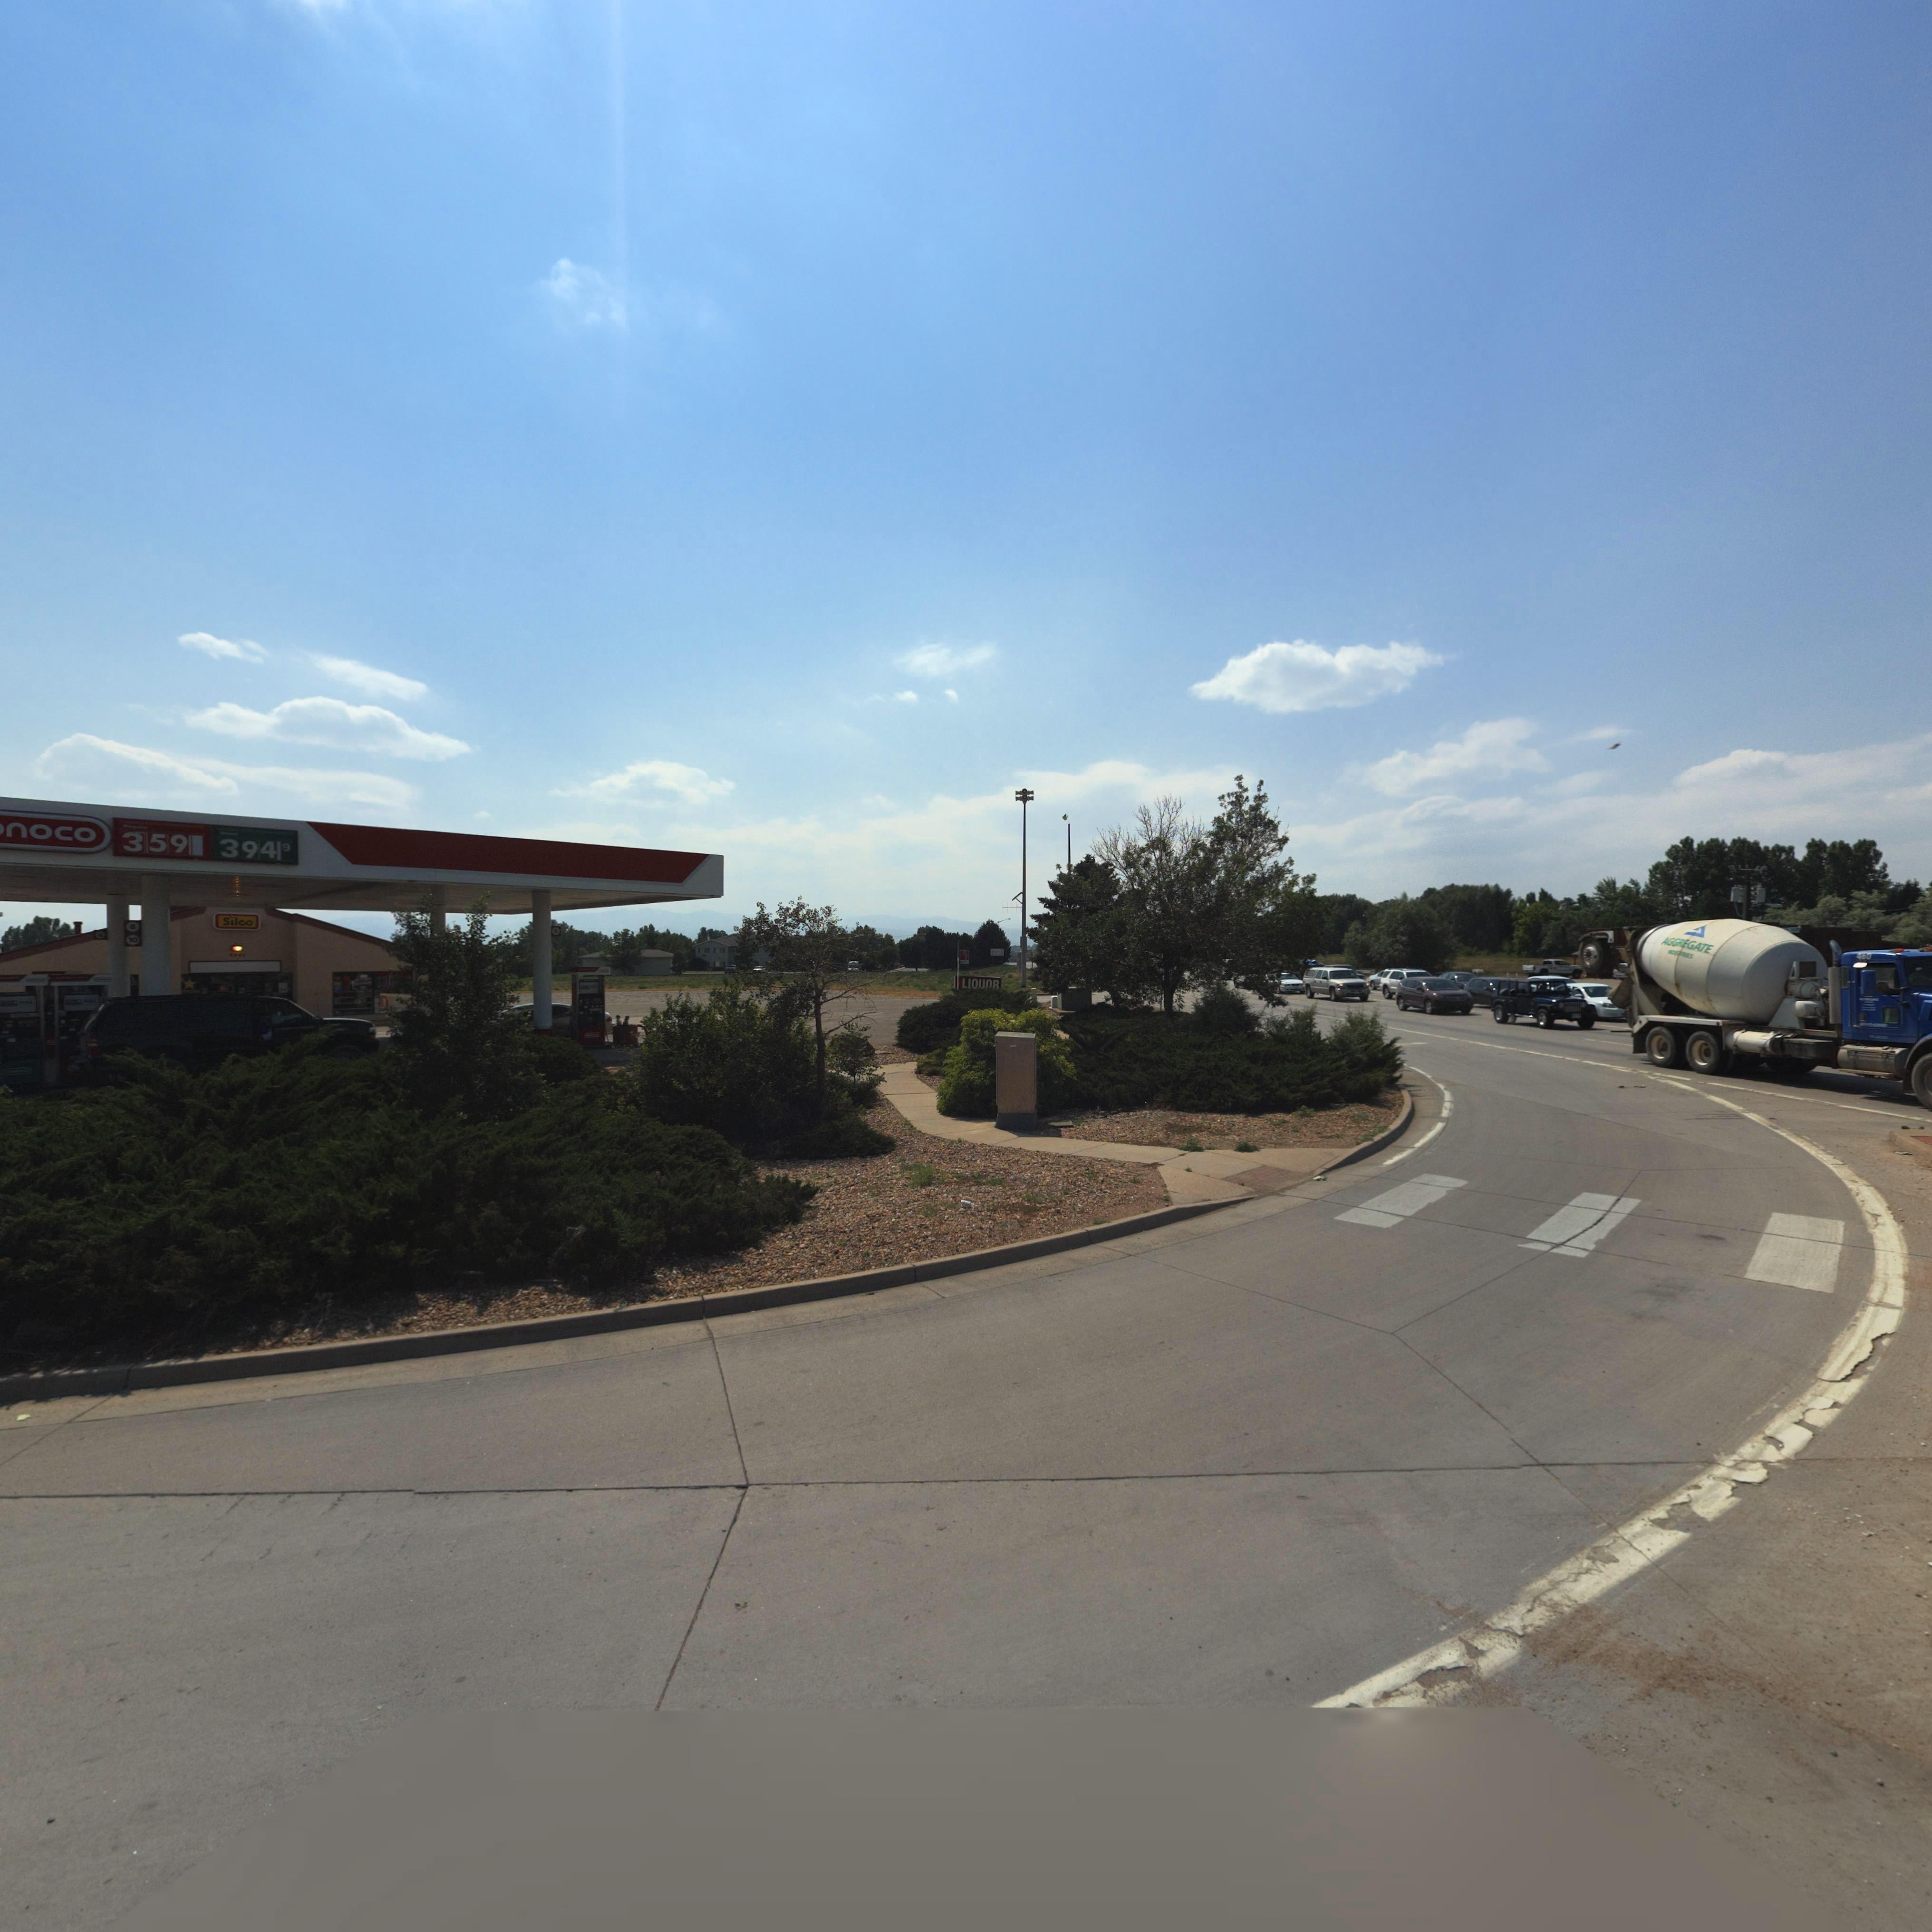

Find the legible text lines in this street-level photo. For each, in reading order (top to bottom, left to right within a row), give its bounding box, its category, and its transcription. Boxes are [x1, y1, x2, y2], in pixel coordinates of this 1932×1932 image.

[5, 821, 97, 843] BusinessName: noco
[222, 916, 253, 926] BusinessName: Silco